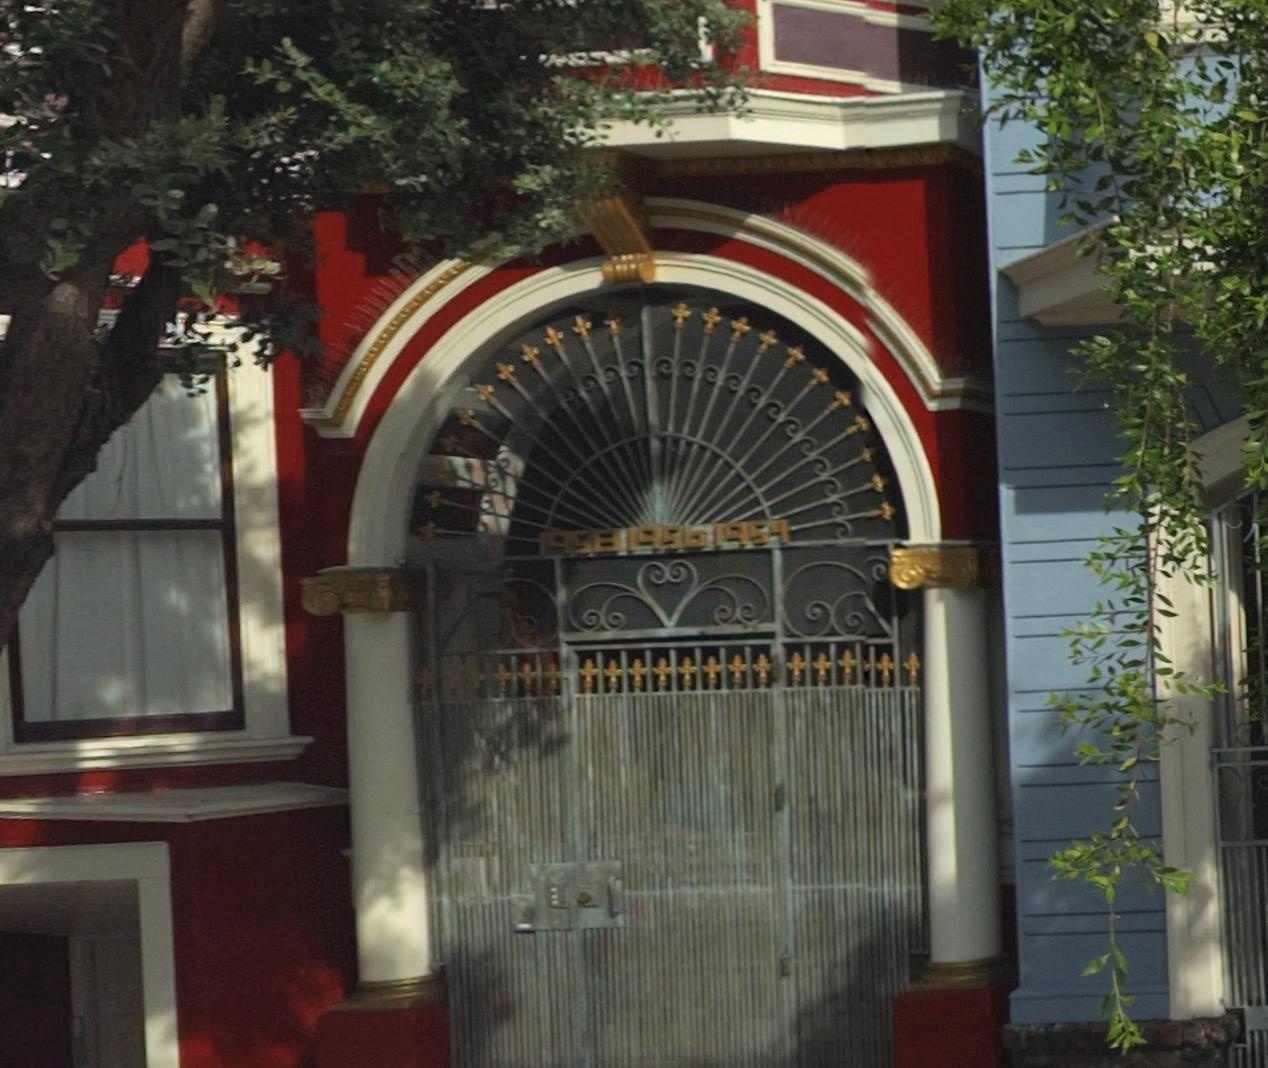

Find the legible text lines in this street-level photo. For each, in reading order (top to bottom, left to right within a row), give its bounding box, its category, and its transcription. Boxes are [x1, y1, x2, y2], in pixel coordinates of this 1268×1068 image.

[536, 525, 622, 559] StreetNumber: 1958
[625, 521, 711, 555] StreetNumber: 1956
[712, 516, 792, 551] StreetNumber: 1954